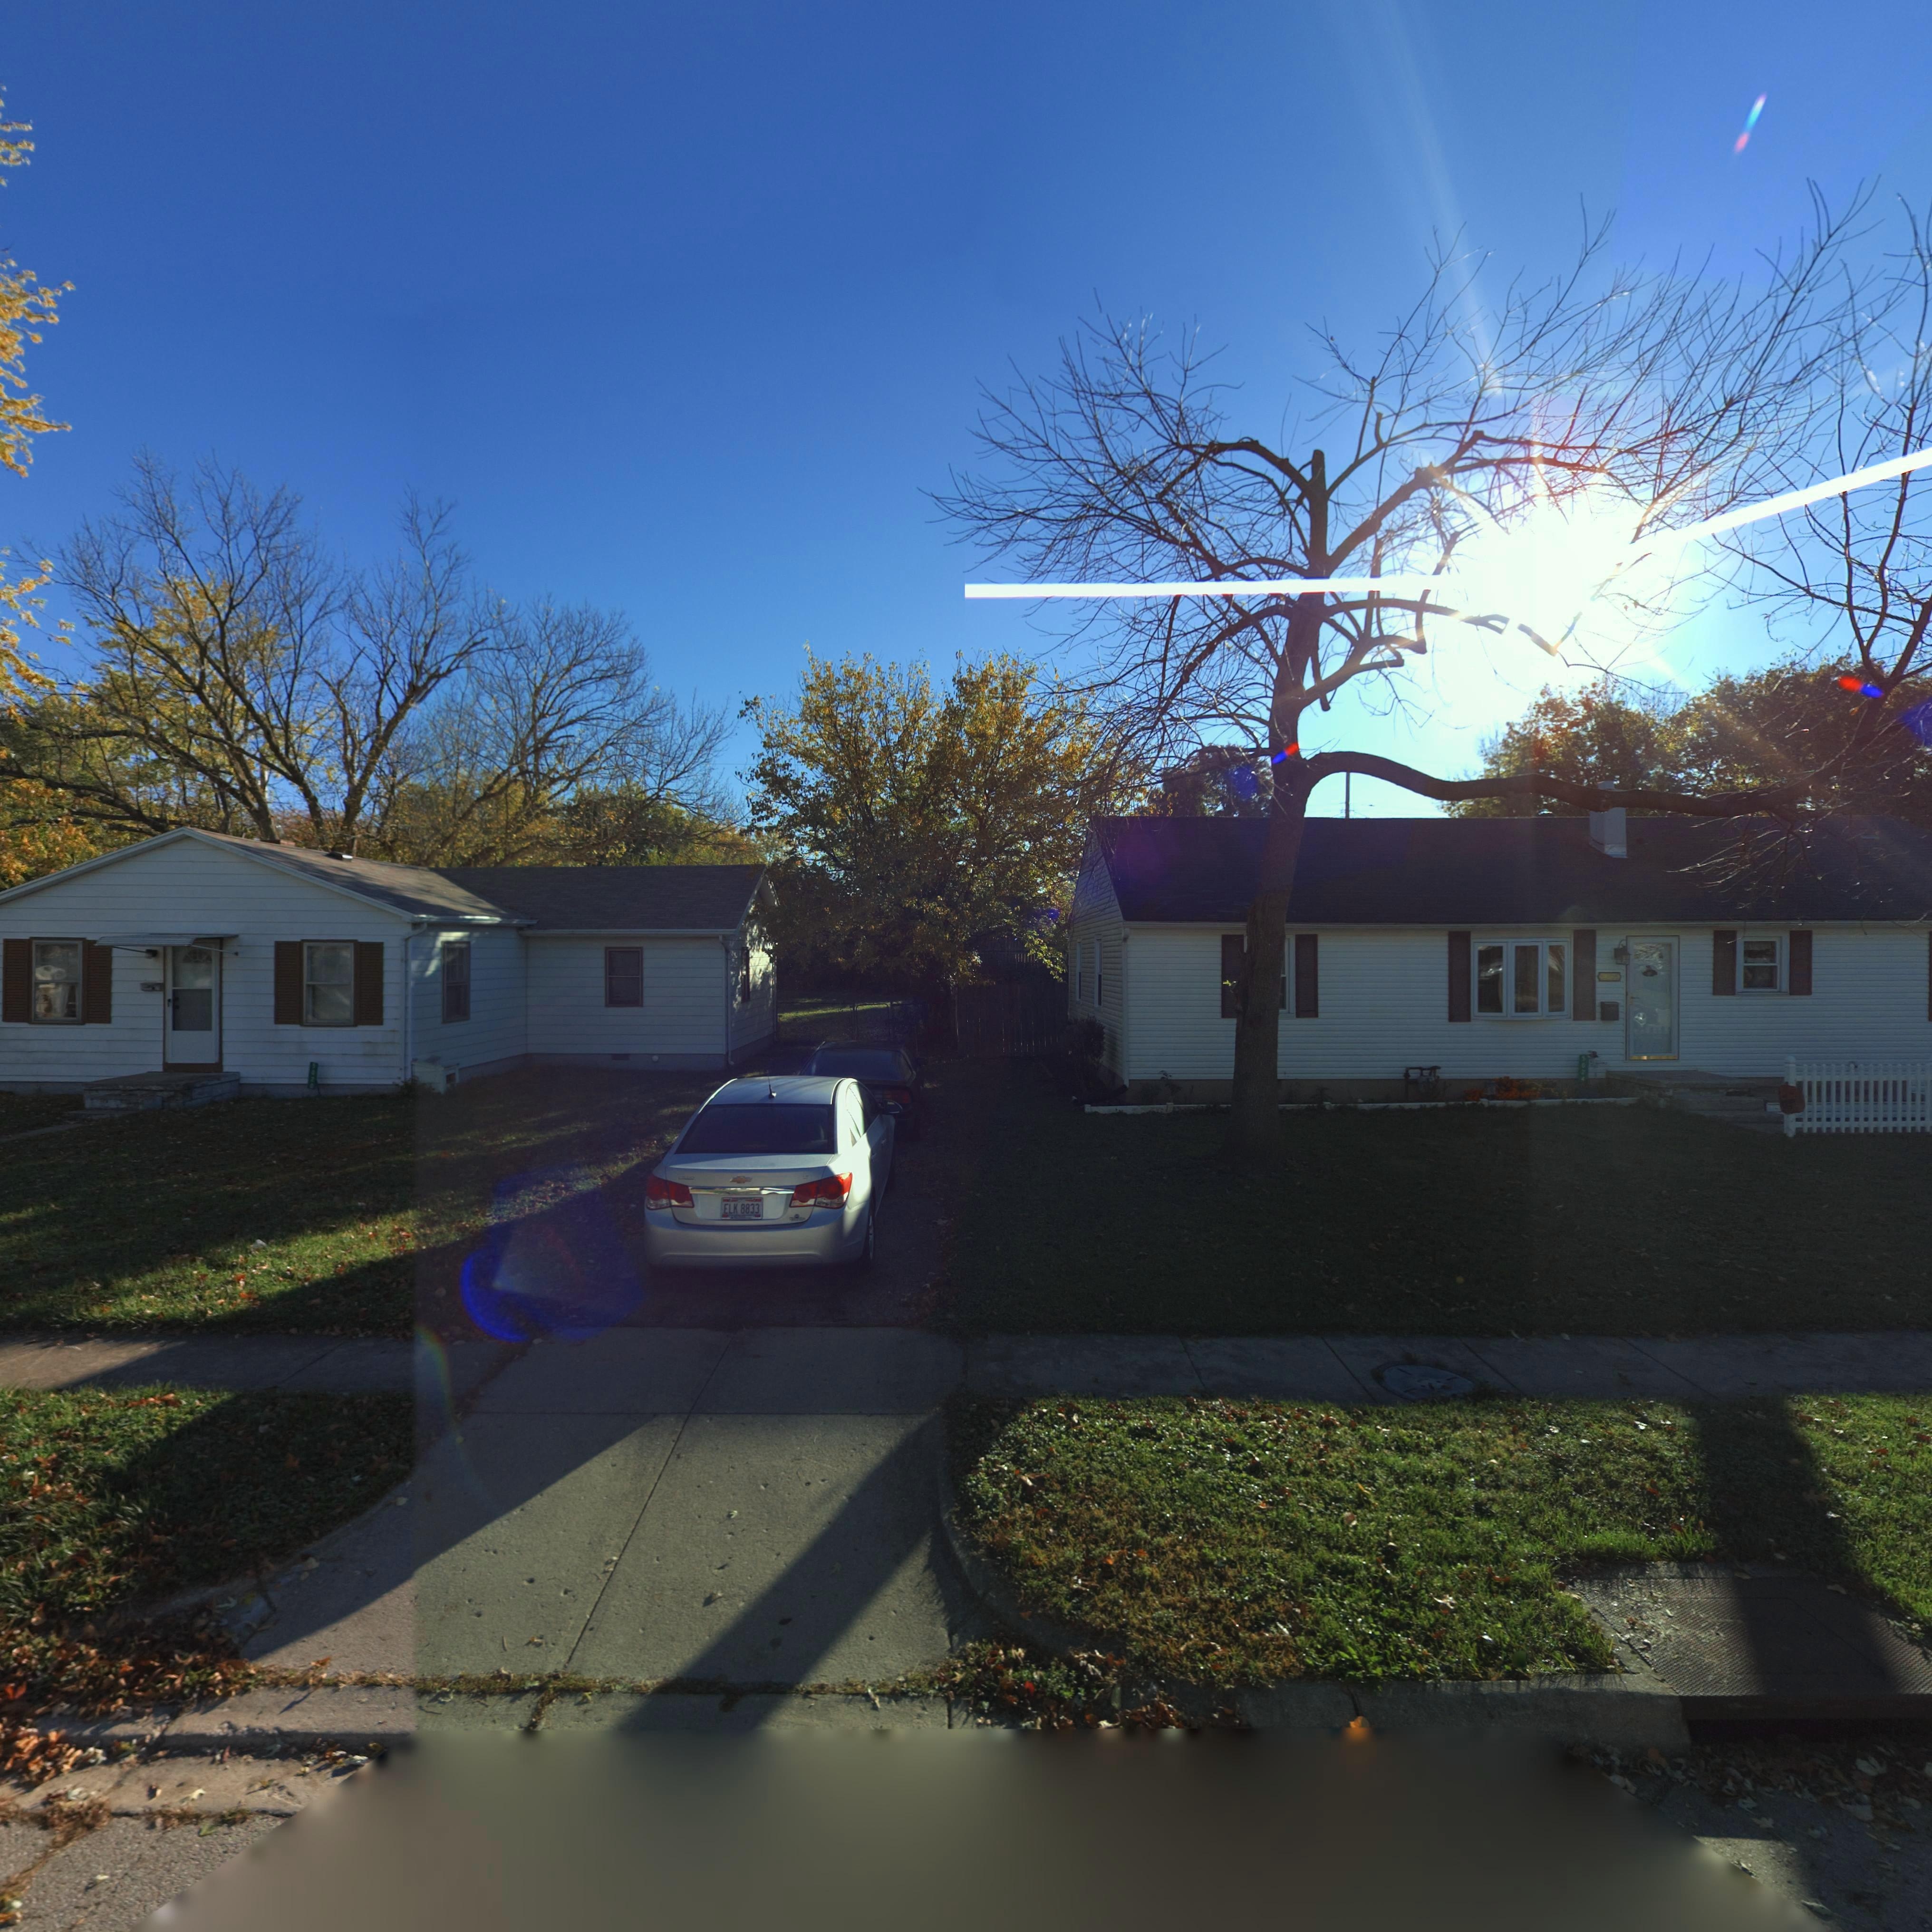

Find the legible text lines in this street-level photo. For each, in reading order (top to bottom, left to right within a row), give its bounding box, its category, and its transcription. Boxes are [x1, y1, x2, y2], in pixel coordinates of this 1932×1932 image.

[1580, 1055, 1587, 1082] StreetNumber: 5024